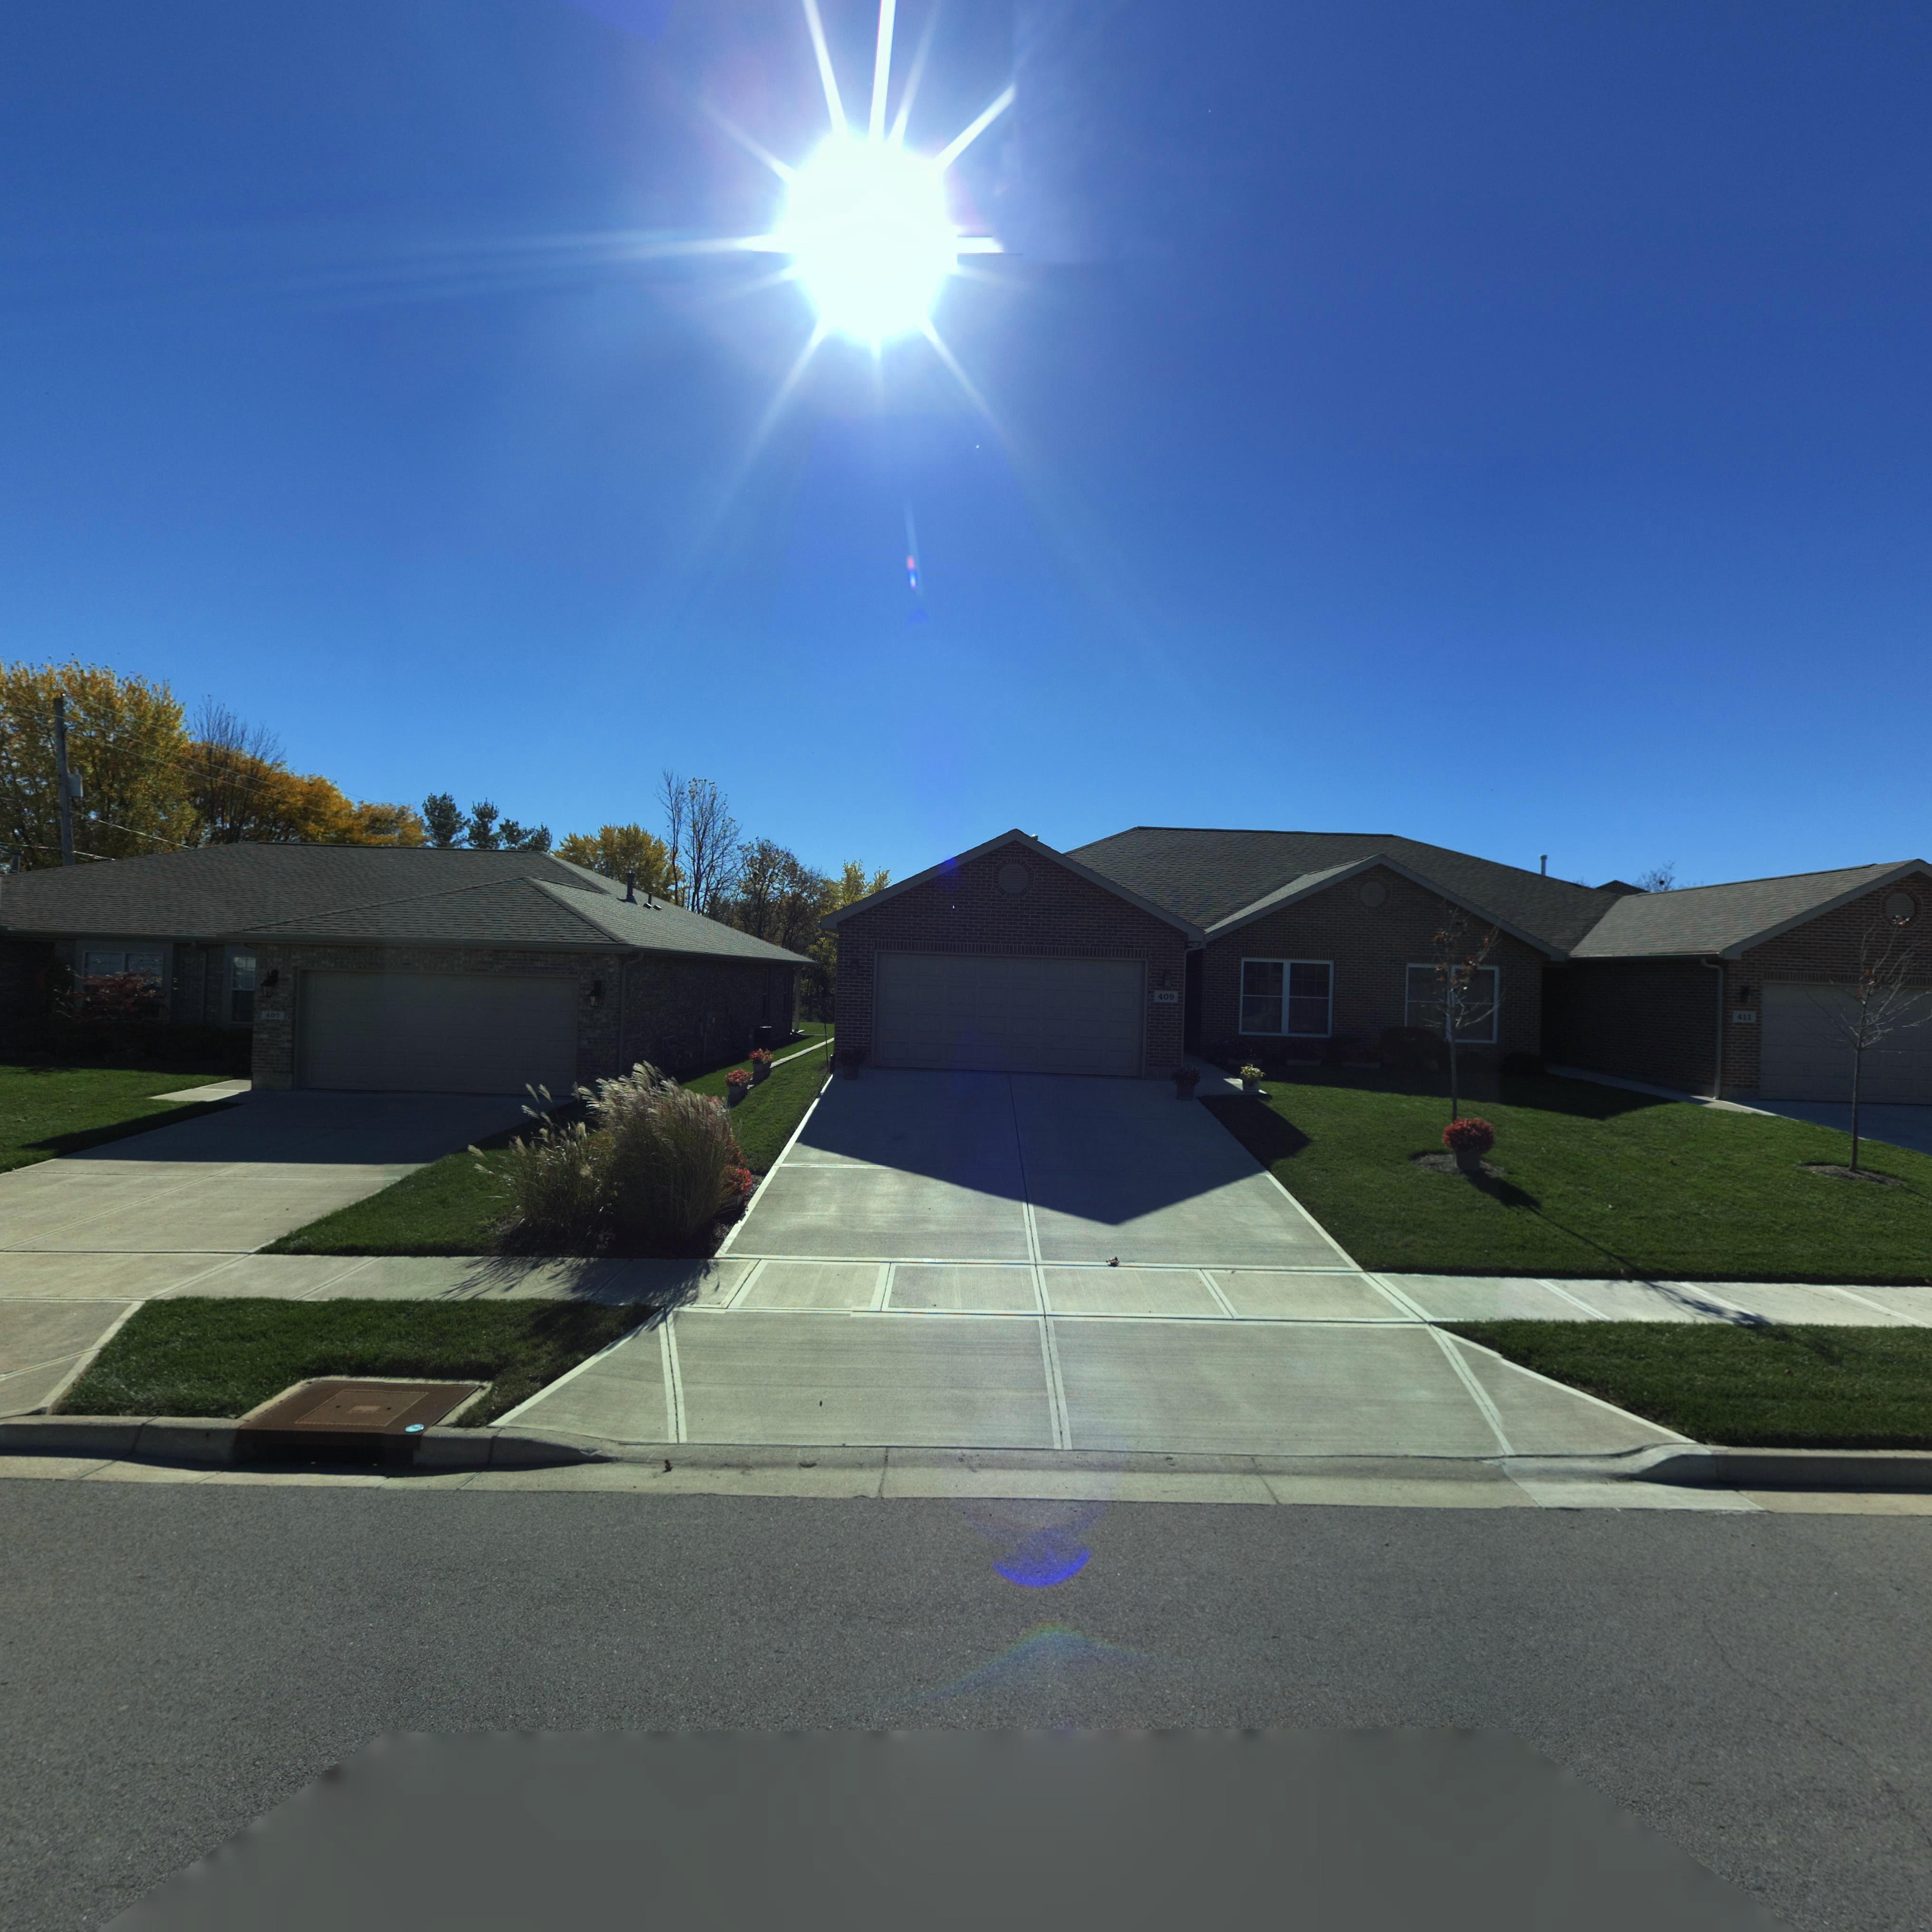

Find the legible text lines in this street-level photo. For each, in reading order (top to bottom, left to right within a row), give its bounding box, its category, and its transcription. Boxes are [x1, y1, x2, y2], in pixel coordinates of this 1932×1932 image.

[1157, 993, 1175, 1001] StreetNumber: 409
[265, 1012, 280, 1019] StreetNumber: 407
[1736, 1012, 1752, 1021] StreetNumber: 411